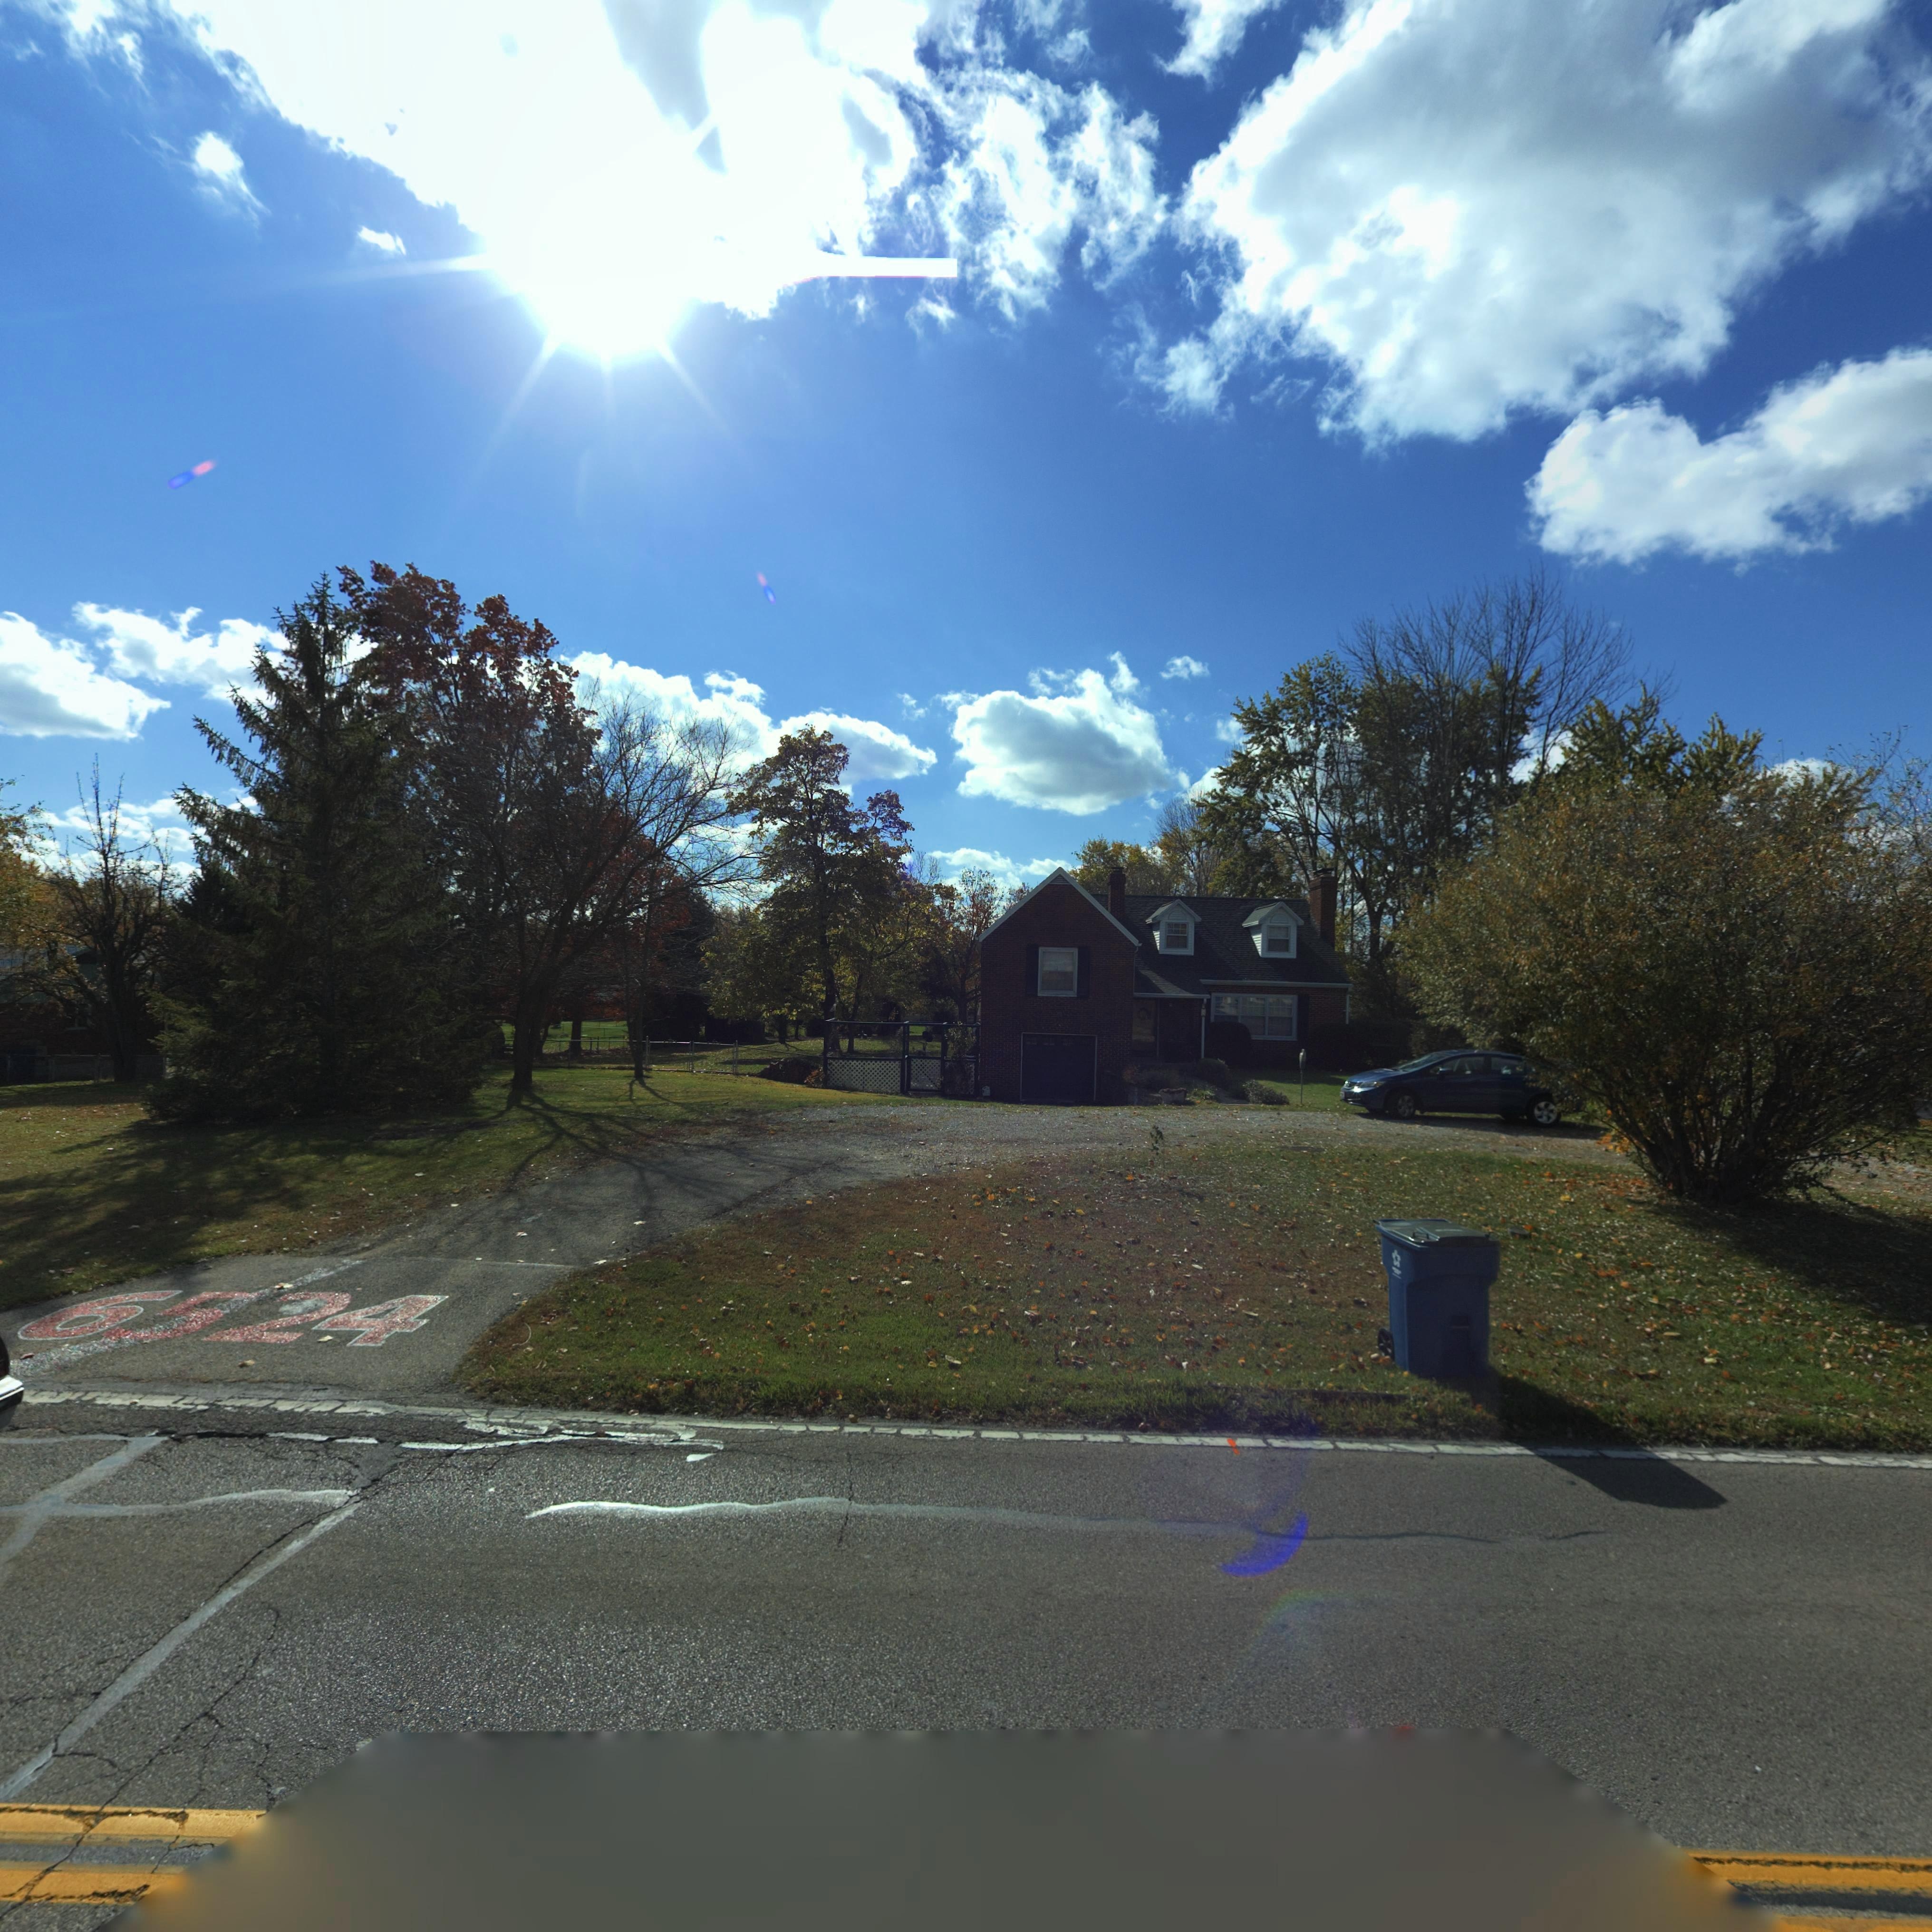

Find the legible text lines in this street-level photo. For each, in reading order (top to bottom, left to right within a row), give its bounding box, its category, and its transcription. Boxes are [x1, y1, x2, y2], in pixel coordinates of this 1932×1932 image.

[15, 1288, 453, 1347] StreetNumber: 6524